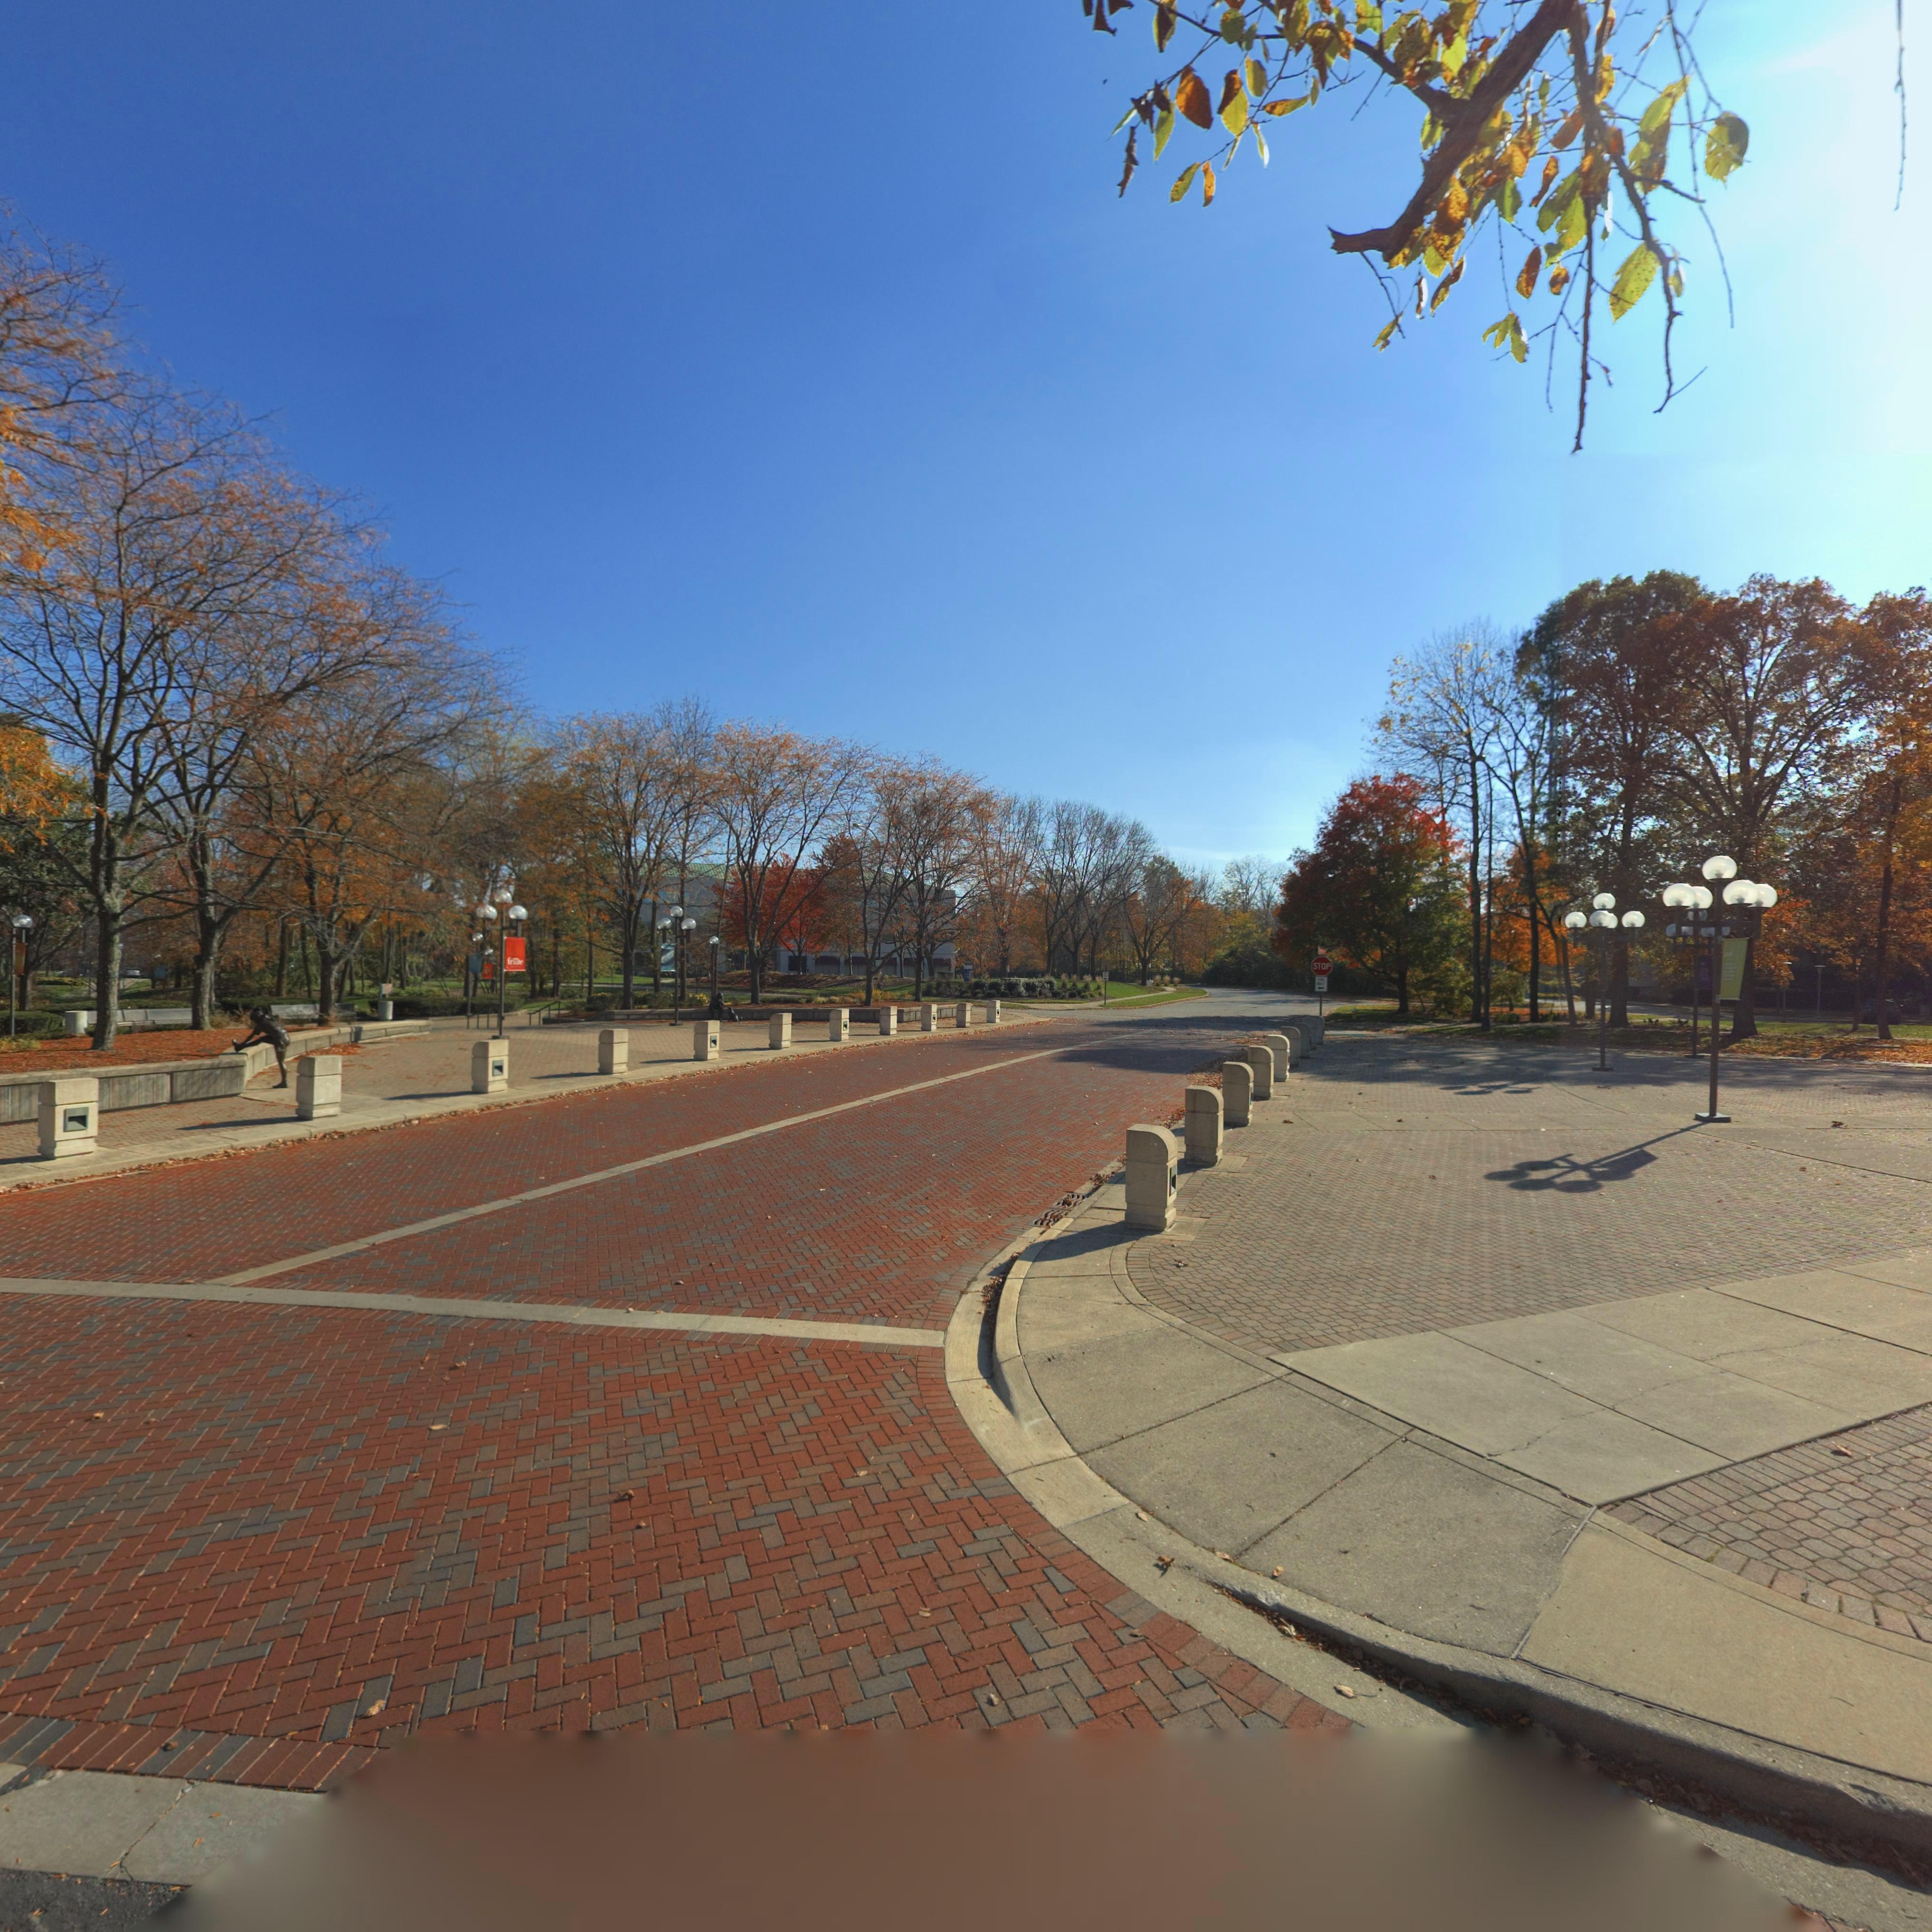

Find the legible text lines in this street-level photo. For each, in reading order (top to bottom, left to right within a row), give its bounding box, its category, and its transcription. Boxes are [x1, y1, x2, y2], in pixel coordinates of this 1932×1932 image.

[1313, 962, 1330, 970] None: STOP
[1317, 977, 1325, 981] None: ONE
[1316, 982, 1326, 985] None: WAY